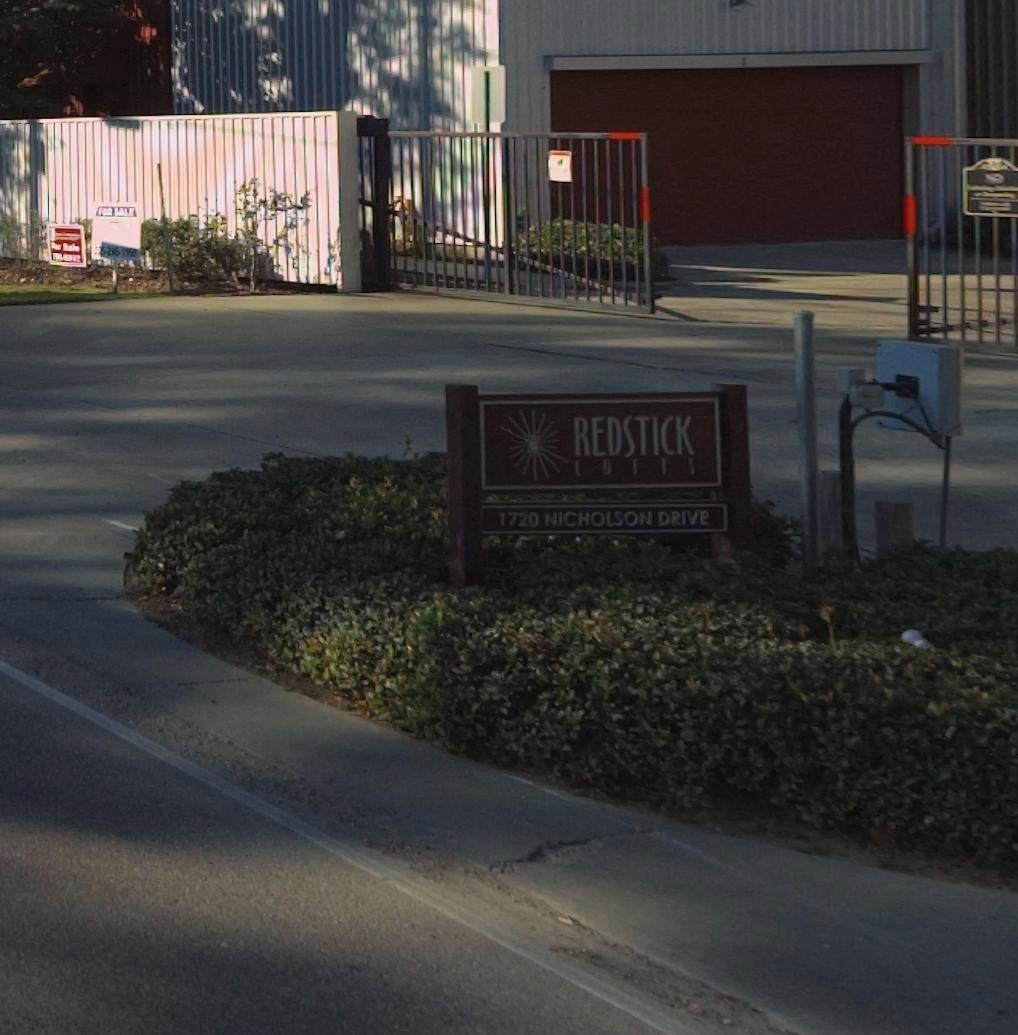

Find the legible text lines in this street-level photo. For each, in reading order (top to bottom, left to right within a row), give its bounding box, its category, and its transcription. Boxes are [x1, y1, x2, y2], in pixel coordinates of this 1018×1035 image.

[570, 411, 699, 460] BusinessName: REDSTICK
[573, 455, 700, 479] BusinessName: LO**S
[496, 509, 540, 531] StreetNumber: 1720
[543, 507, 712, 530] StreetName: NICHOLSON DRIVE